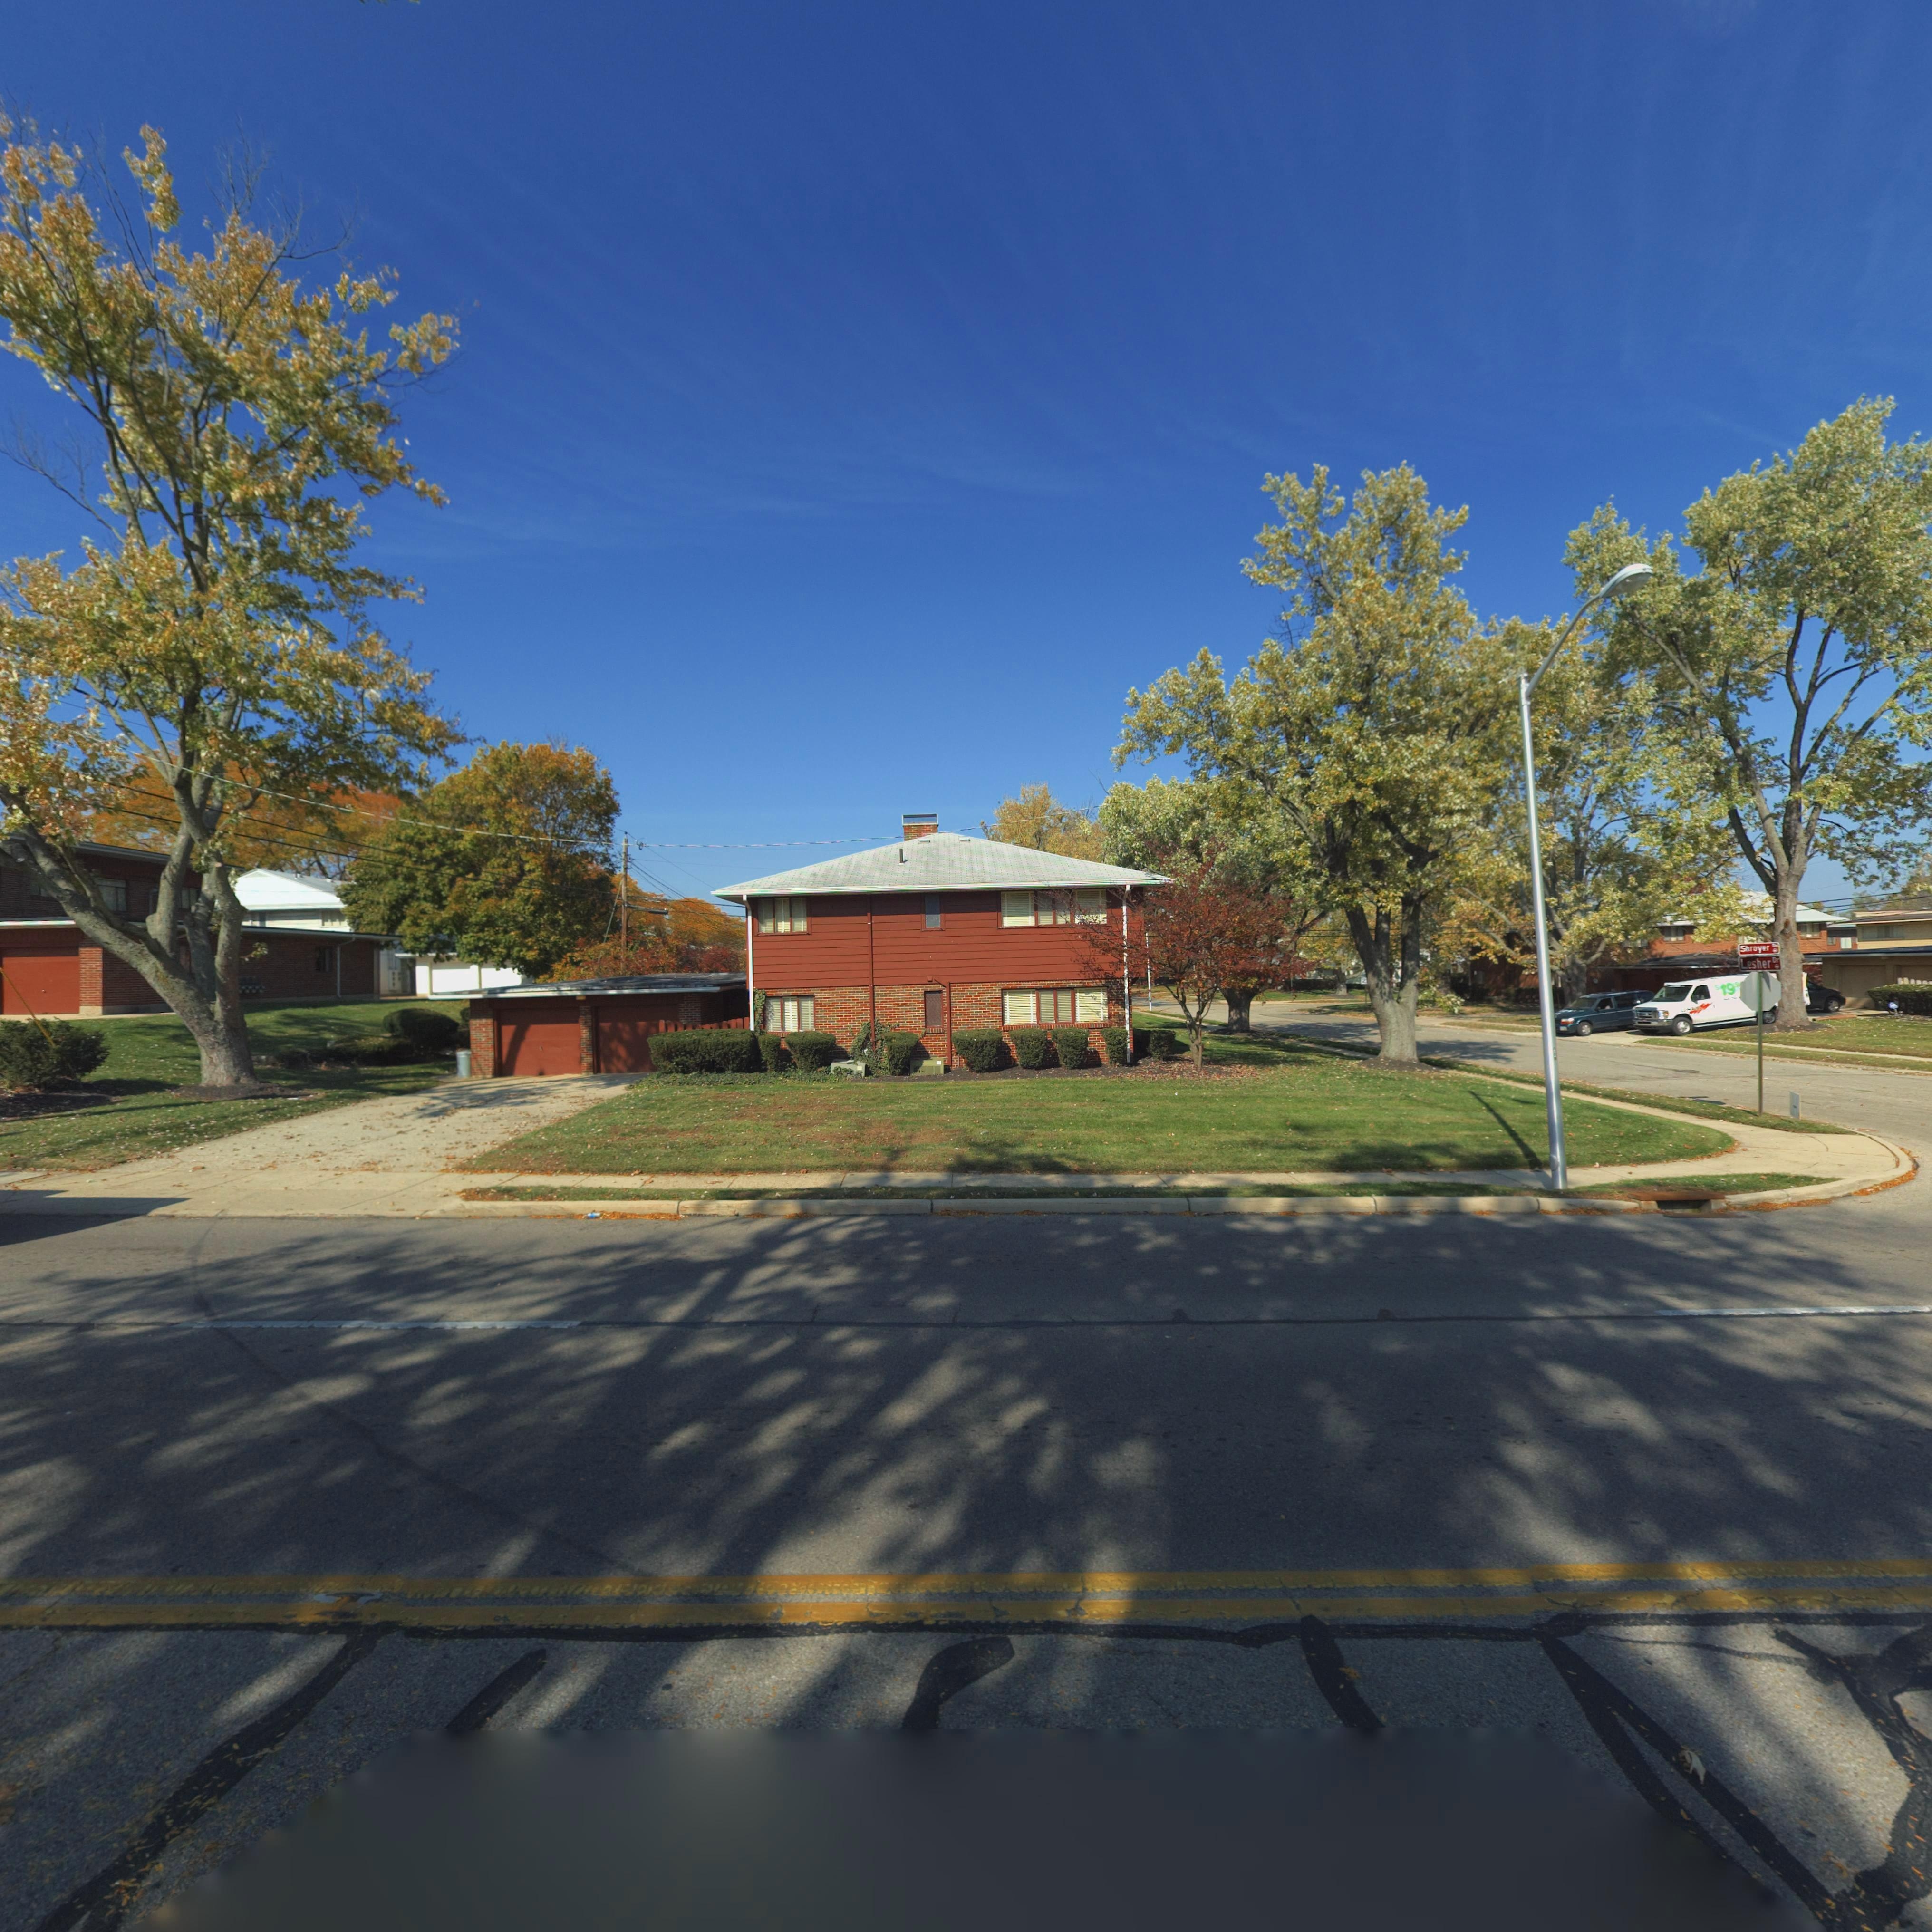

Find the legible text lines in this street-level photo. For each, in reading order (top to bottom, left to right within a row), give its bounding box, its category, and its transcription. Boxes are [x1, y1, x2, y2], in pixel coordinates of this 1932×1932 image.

[1739, 944, 1771, 954] StreetName: S*roy*r
[1738, 956, 1781, 971] StreetName: Lesher Dr